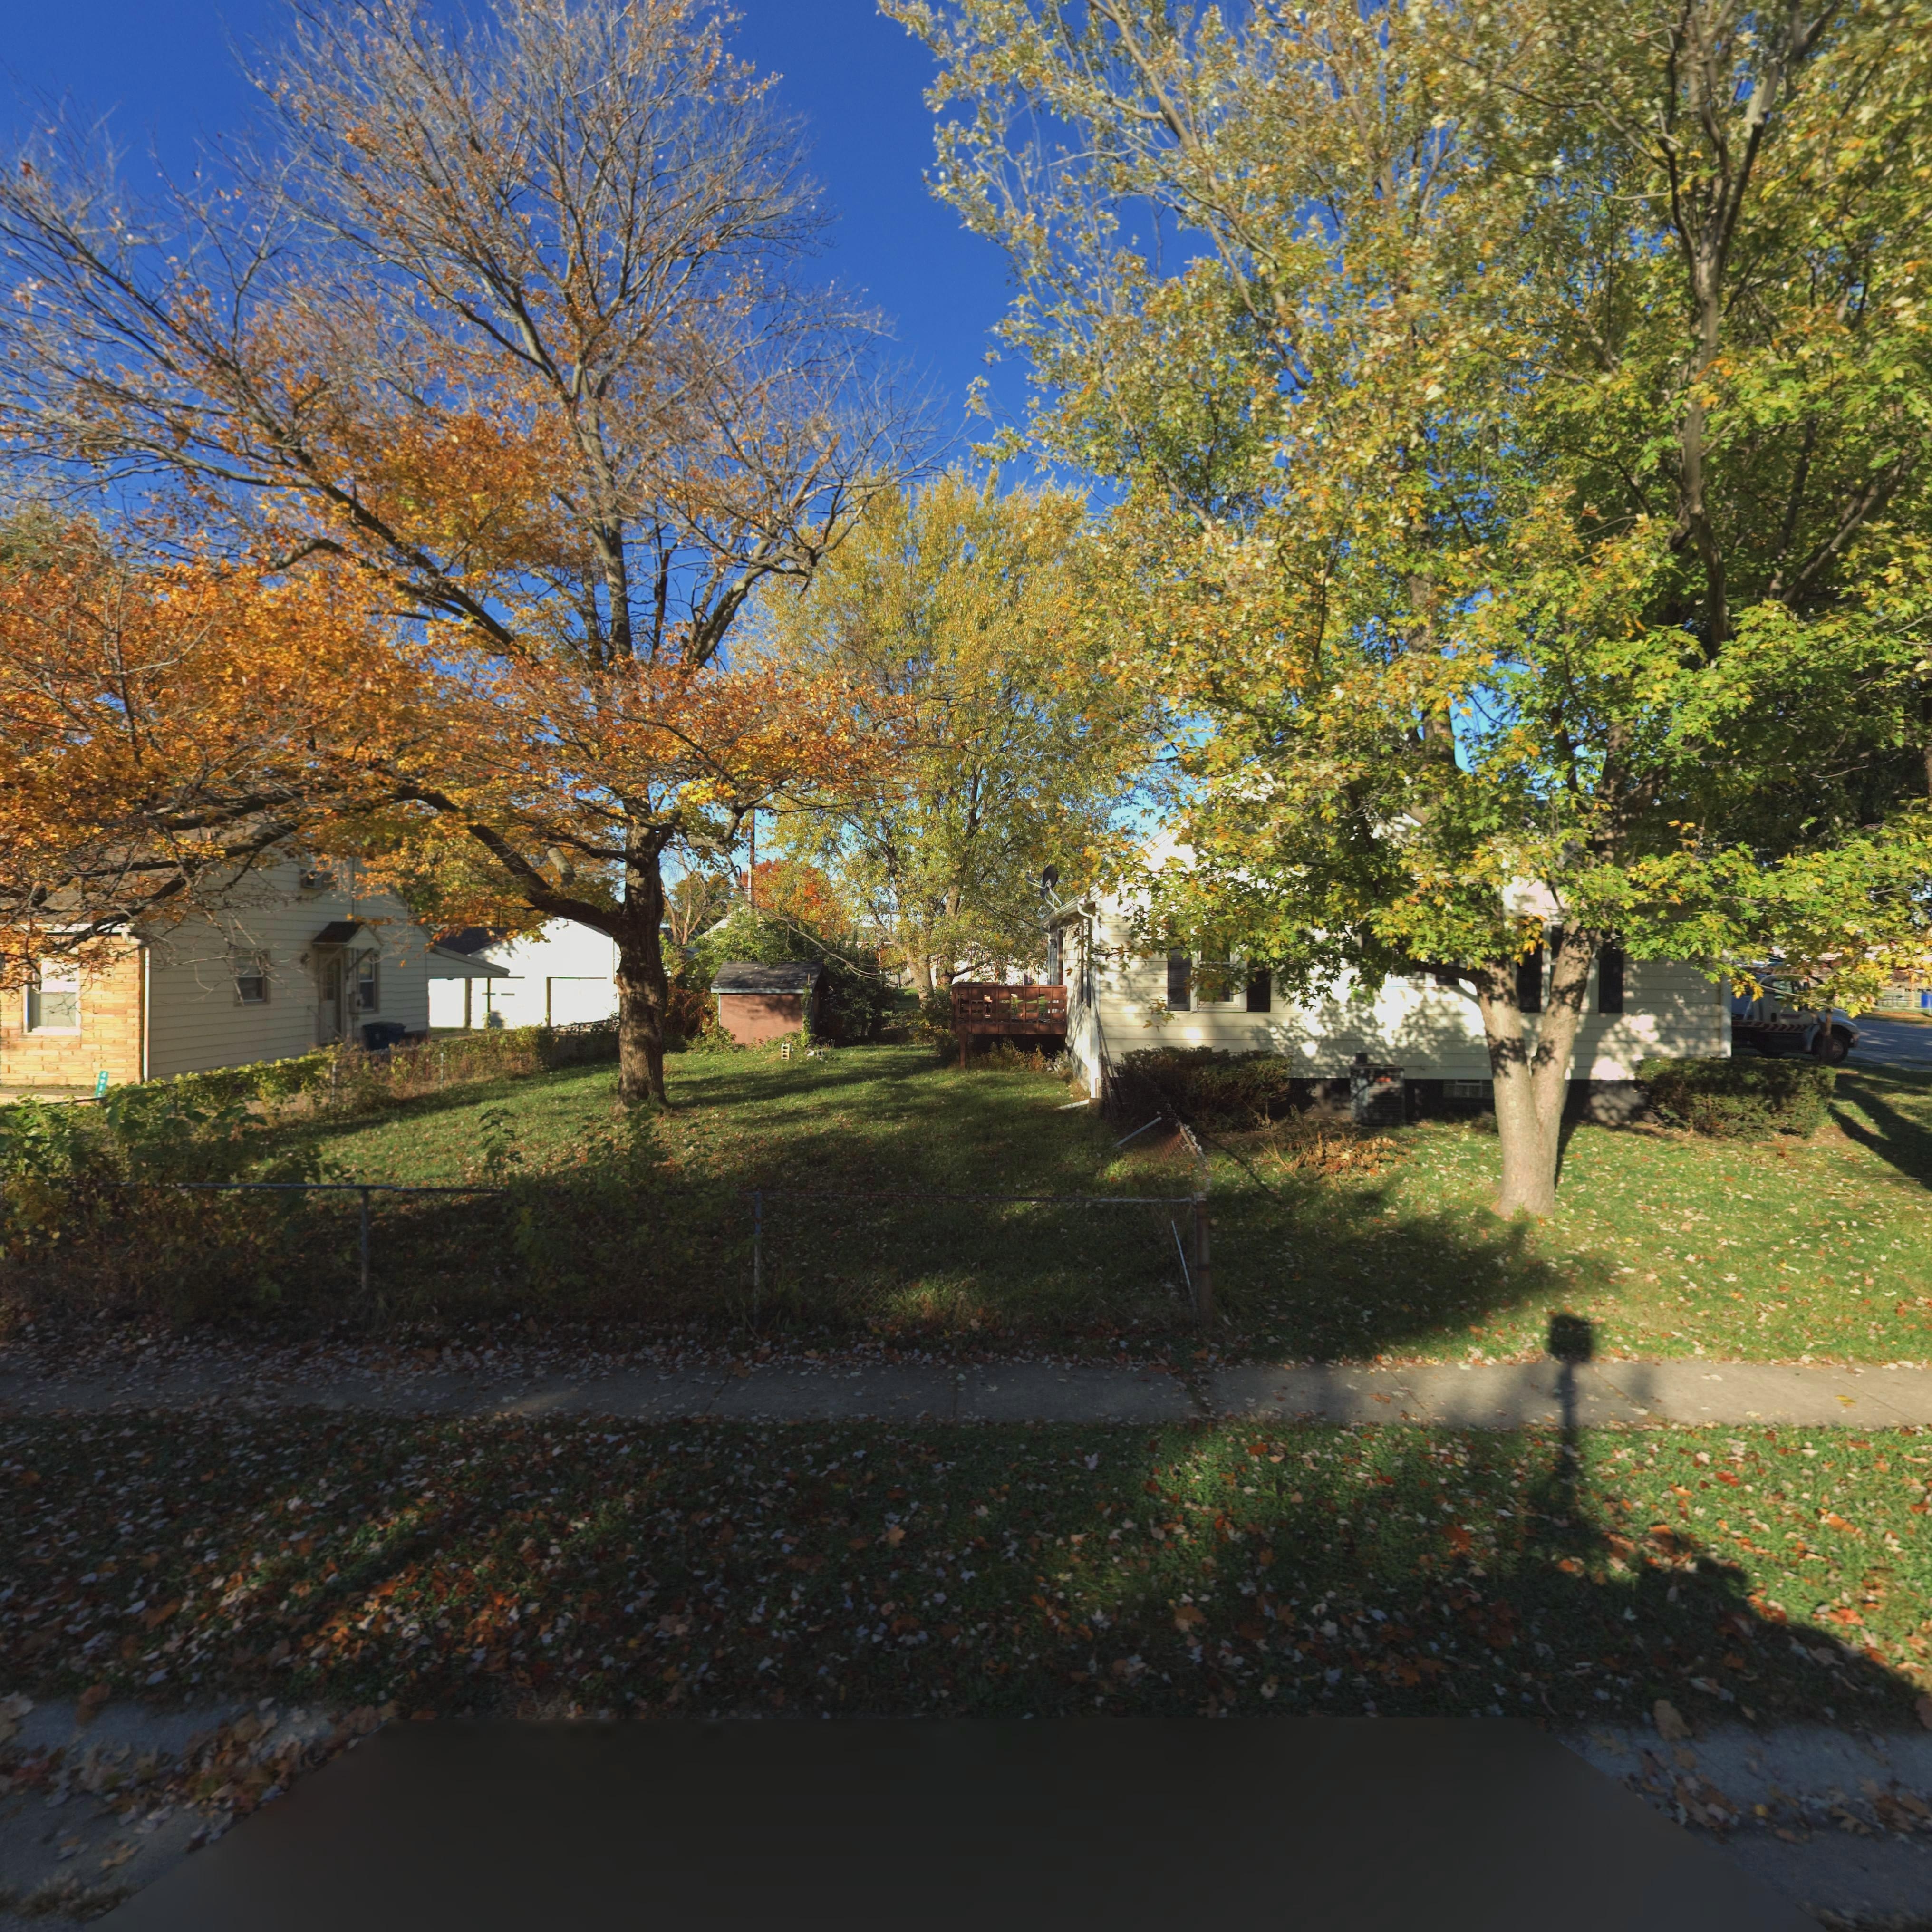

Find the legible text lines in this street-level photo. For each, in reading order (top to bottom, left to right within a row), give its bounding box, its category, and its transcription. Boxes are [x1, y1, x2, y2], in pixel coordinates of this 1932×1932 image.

[98, 1070, 107, 1092] StreetNumber: **1